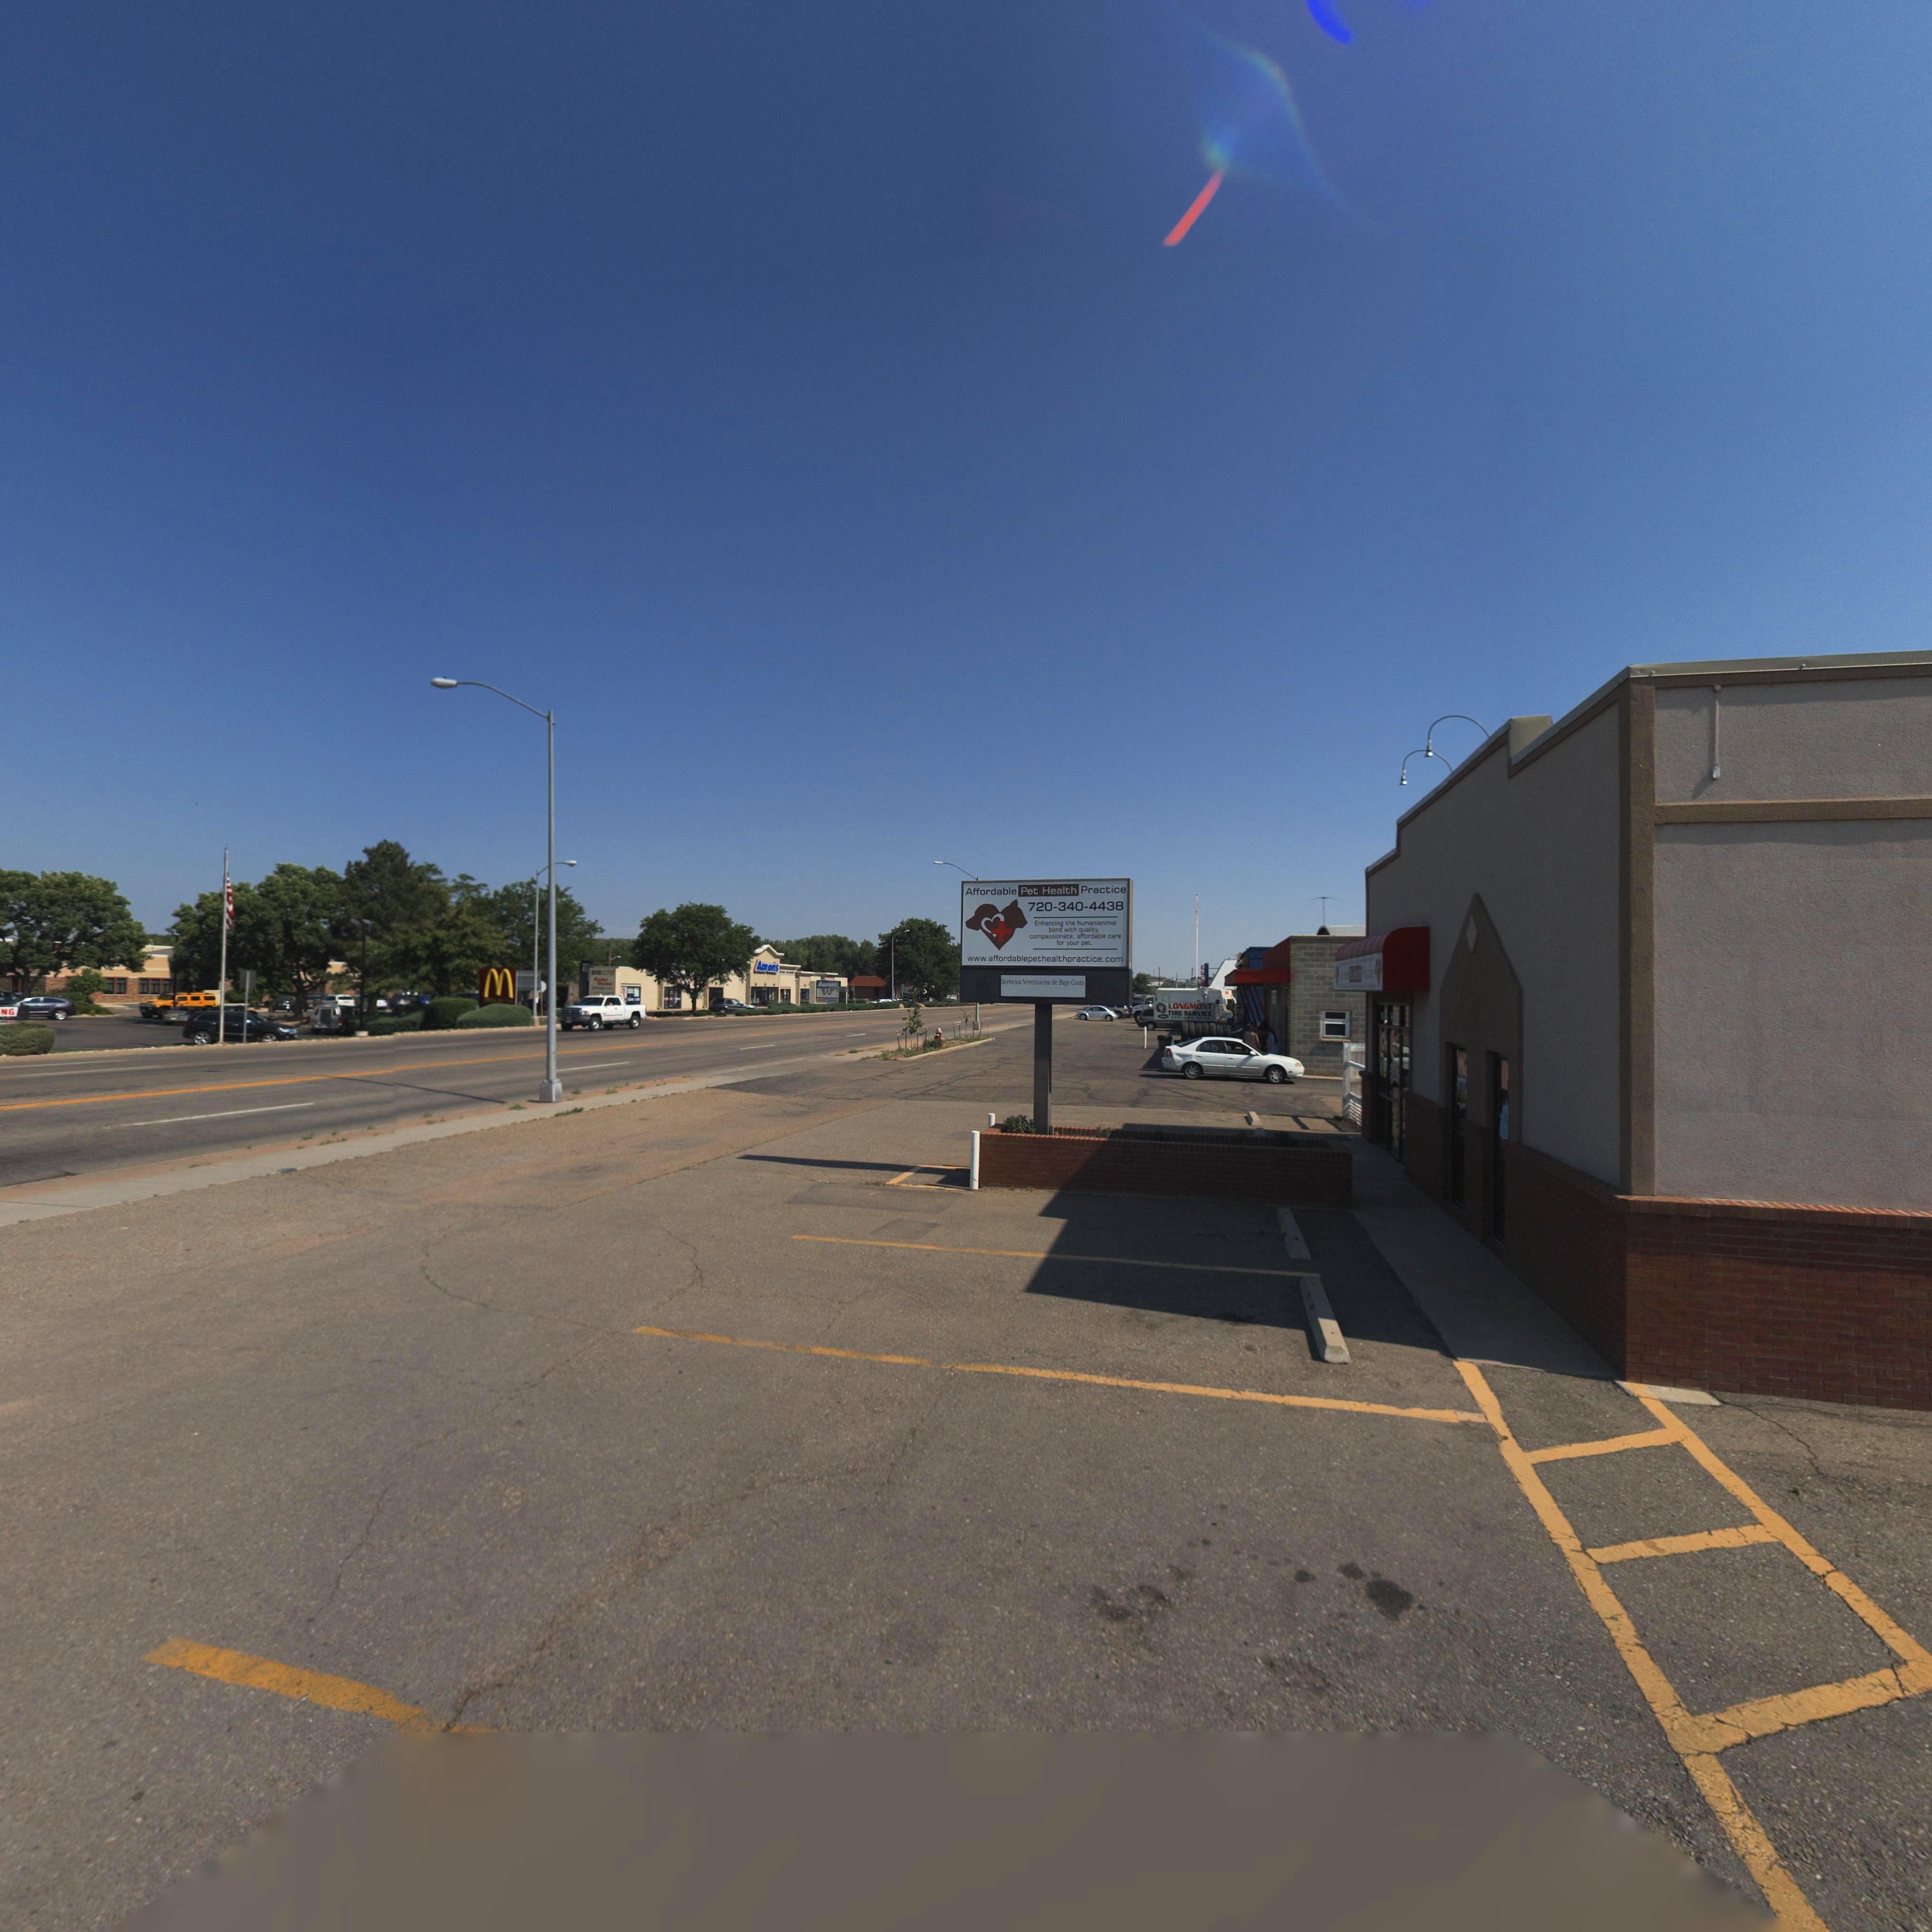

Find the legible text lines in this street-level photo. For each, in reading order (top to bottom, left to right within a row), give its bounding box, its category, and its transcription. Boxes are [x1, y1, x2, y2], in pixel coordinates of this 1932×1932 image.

[964, 884, 1127, 896] BusinessName: Affordable Pet Health Practice
[754, 959, 779, 973] BusinessName: Aarons
[590, 969, 613, 976] BusinessName: **G*O**
[817, 981, 838, 987] BusinessName: Aarons
[1168, 1002, 1213, 1010] BusinessName: LONGMONT
[1168, 1010, 1212, 1016] BusinessName: TIRE SERVICE